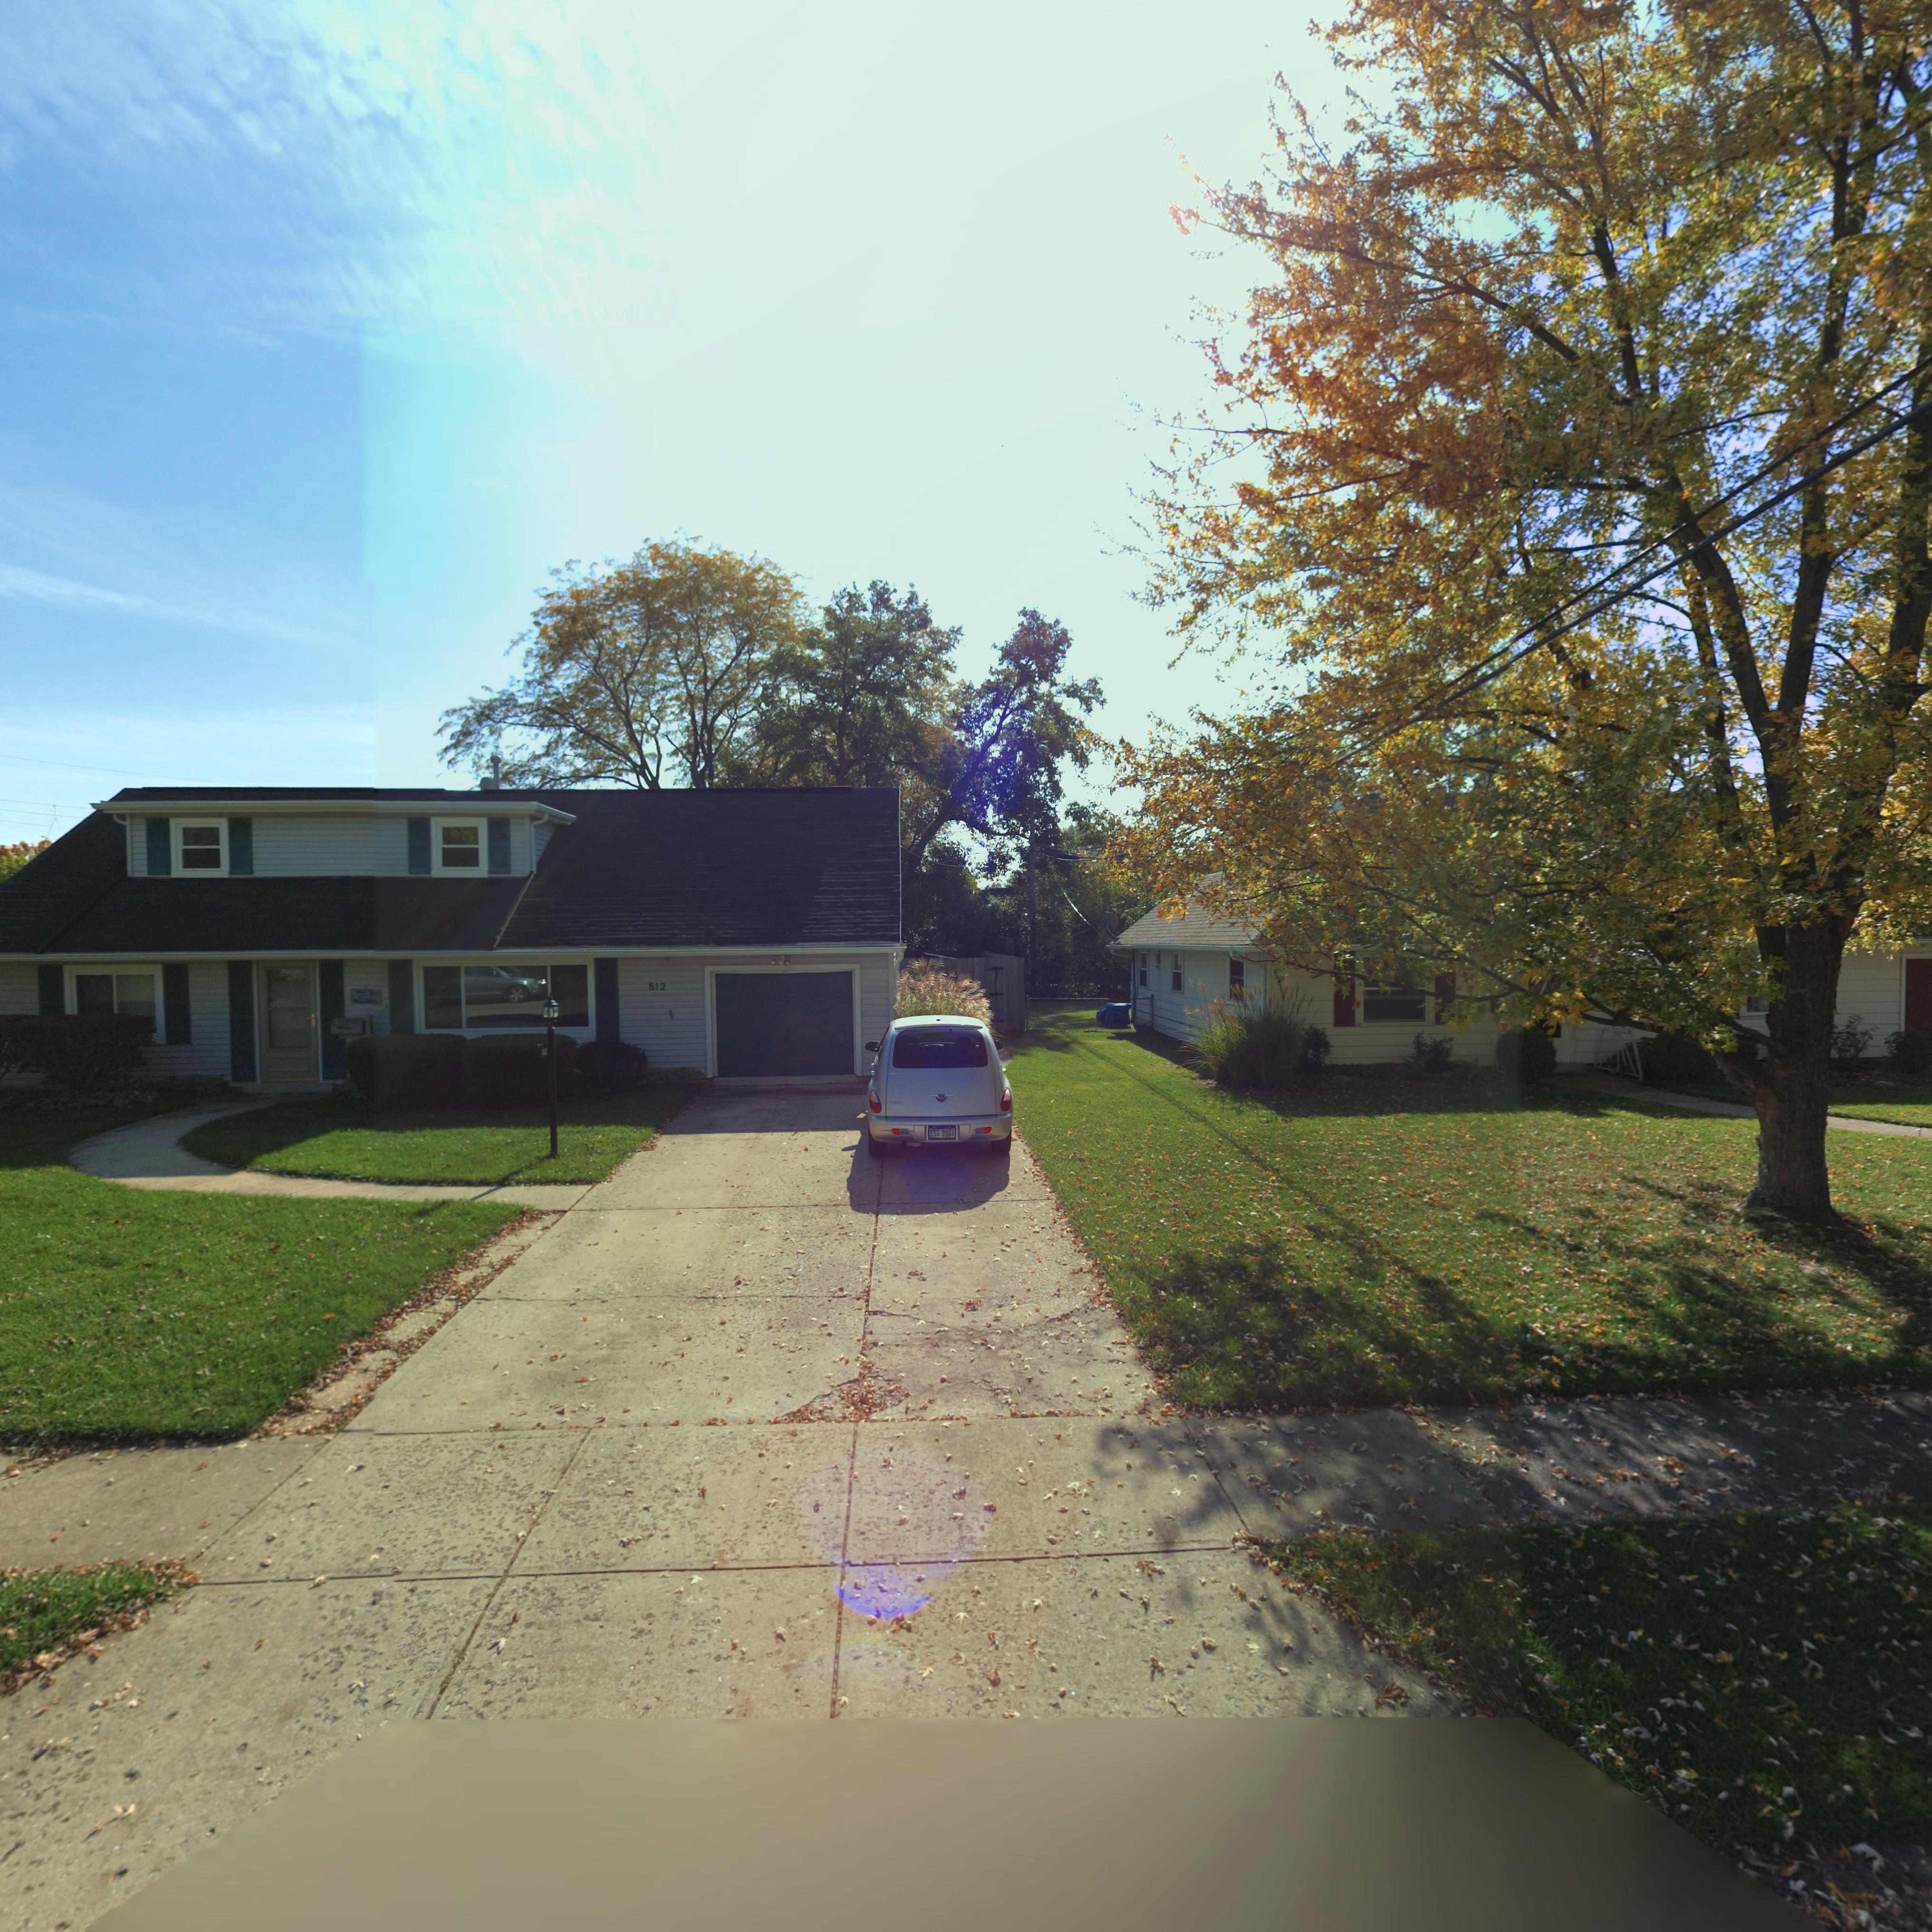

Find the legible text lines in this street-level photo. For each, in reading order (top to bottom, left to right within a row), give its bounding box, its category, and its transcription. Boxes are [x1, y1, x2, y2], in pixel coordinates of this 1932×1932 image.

[647, 981, 667, 992] StreetNumber: 812
[929, 1128, 955, 1138] None: ESS 9907